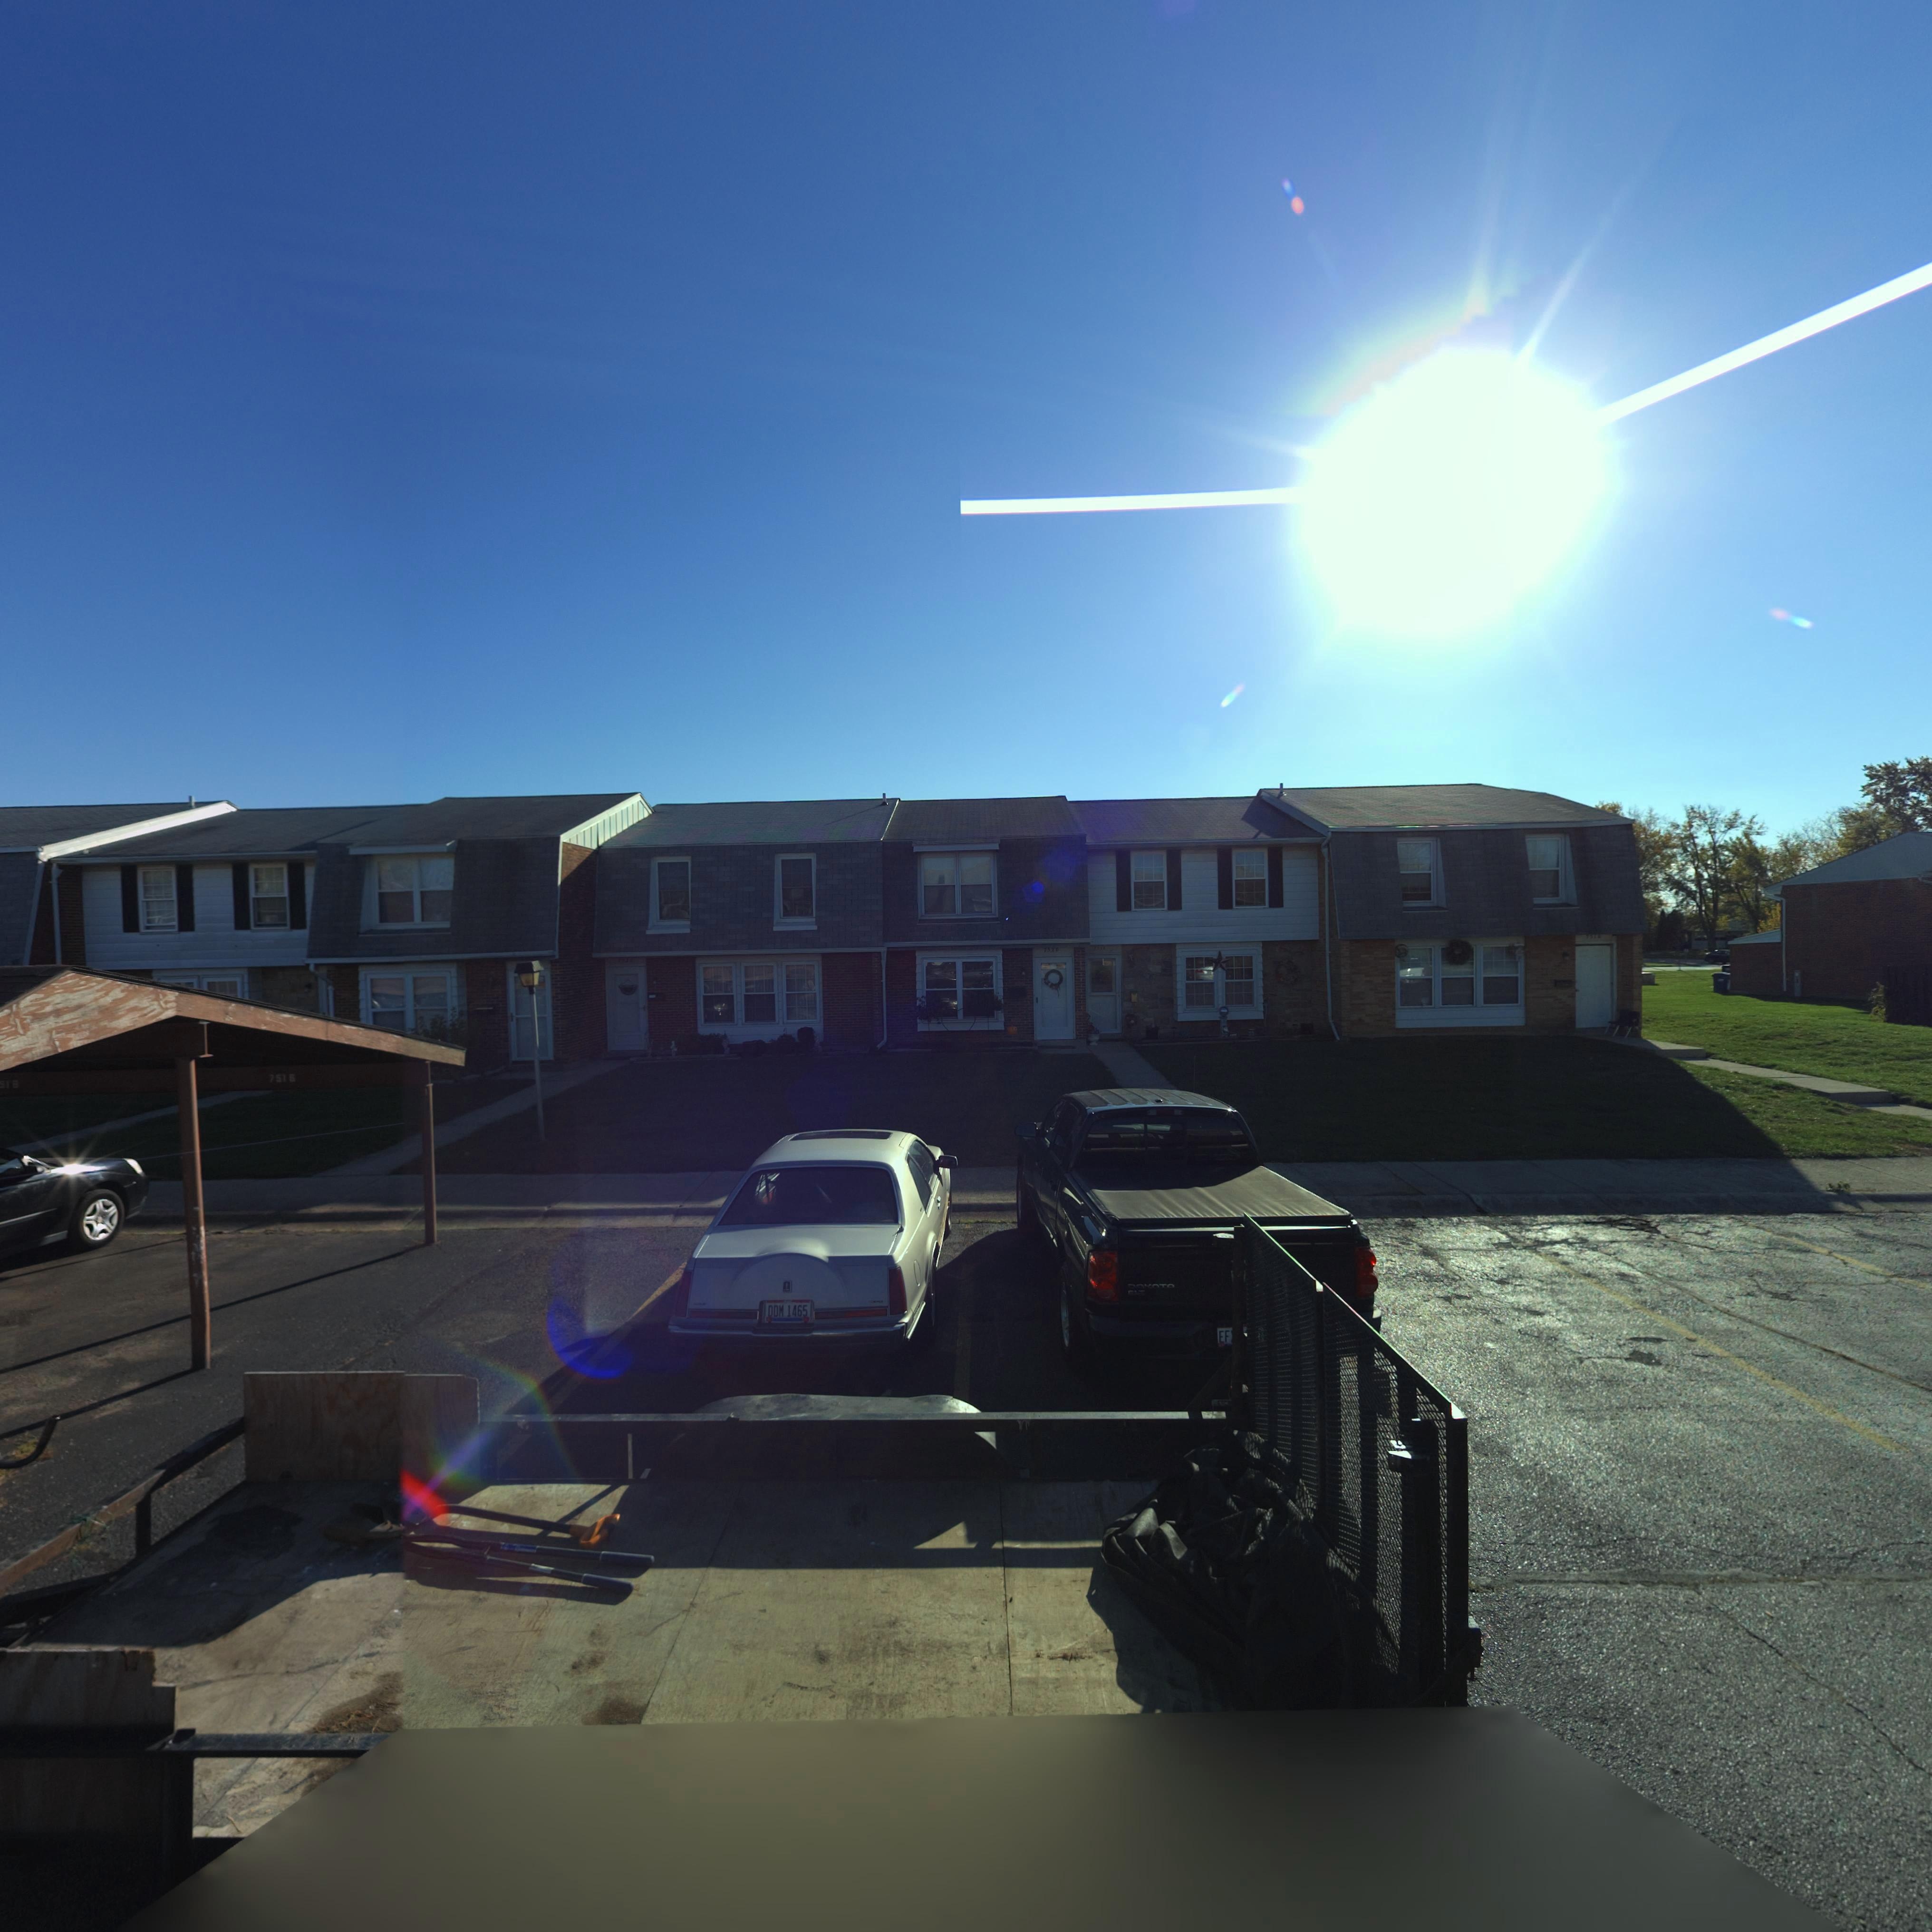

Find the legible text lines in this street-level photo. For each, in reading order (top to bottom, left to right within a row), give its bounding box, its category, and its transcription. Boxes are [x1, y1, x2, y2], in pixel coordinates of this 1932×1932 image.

[1585, 934, 1602, 938] StreetNumber: 7516
[1043, 947, 1059, 952] StreetNumber: 7520
[1093, 946, 1106, 950] StreetNumber: 751*
[268, 1073, 296, 1083] StreetNumber: 7516